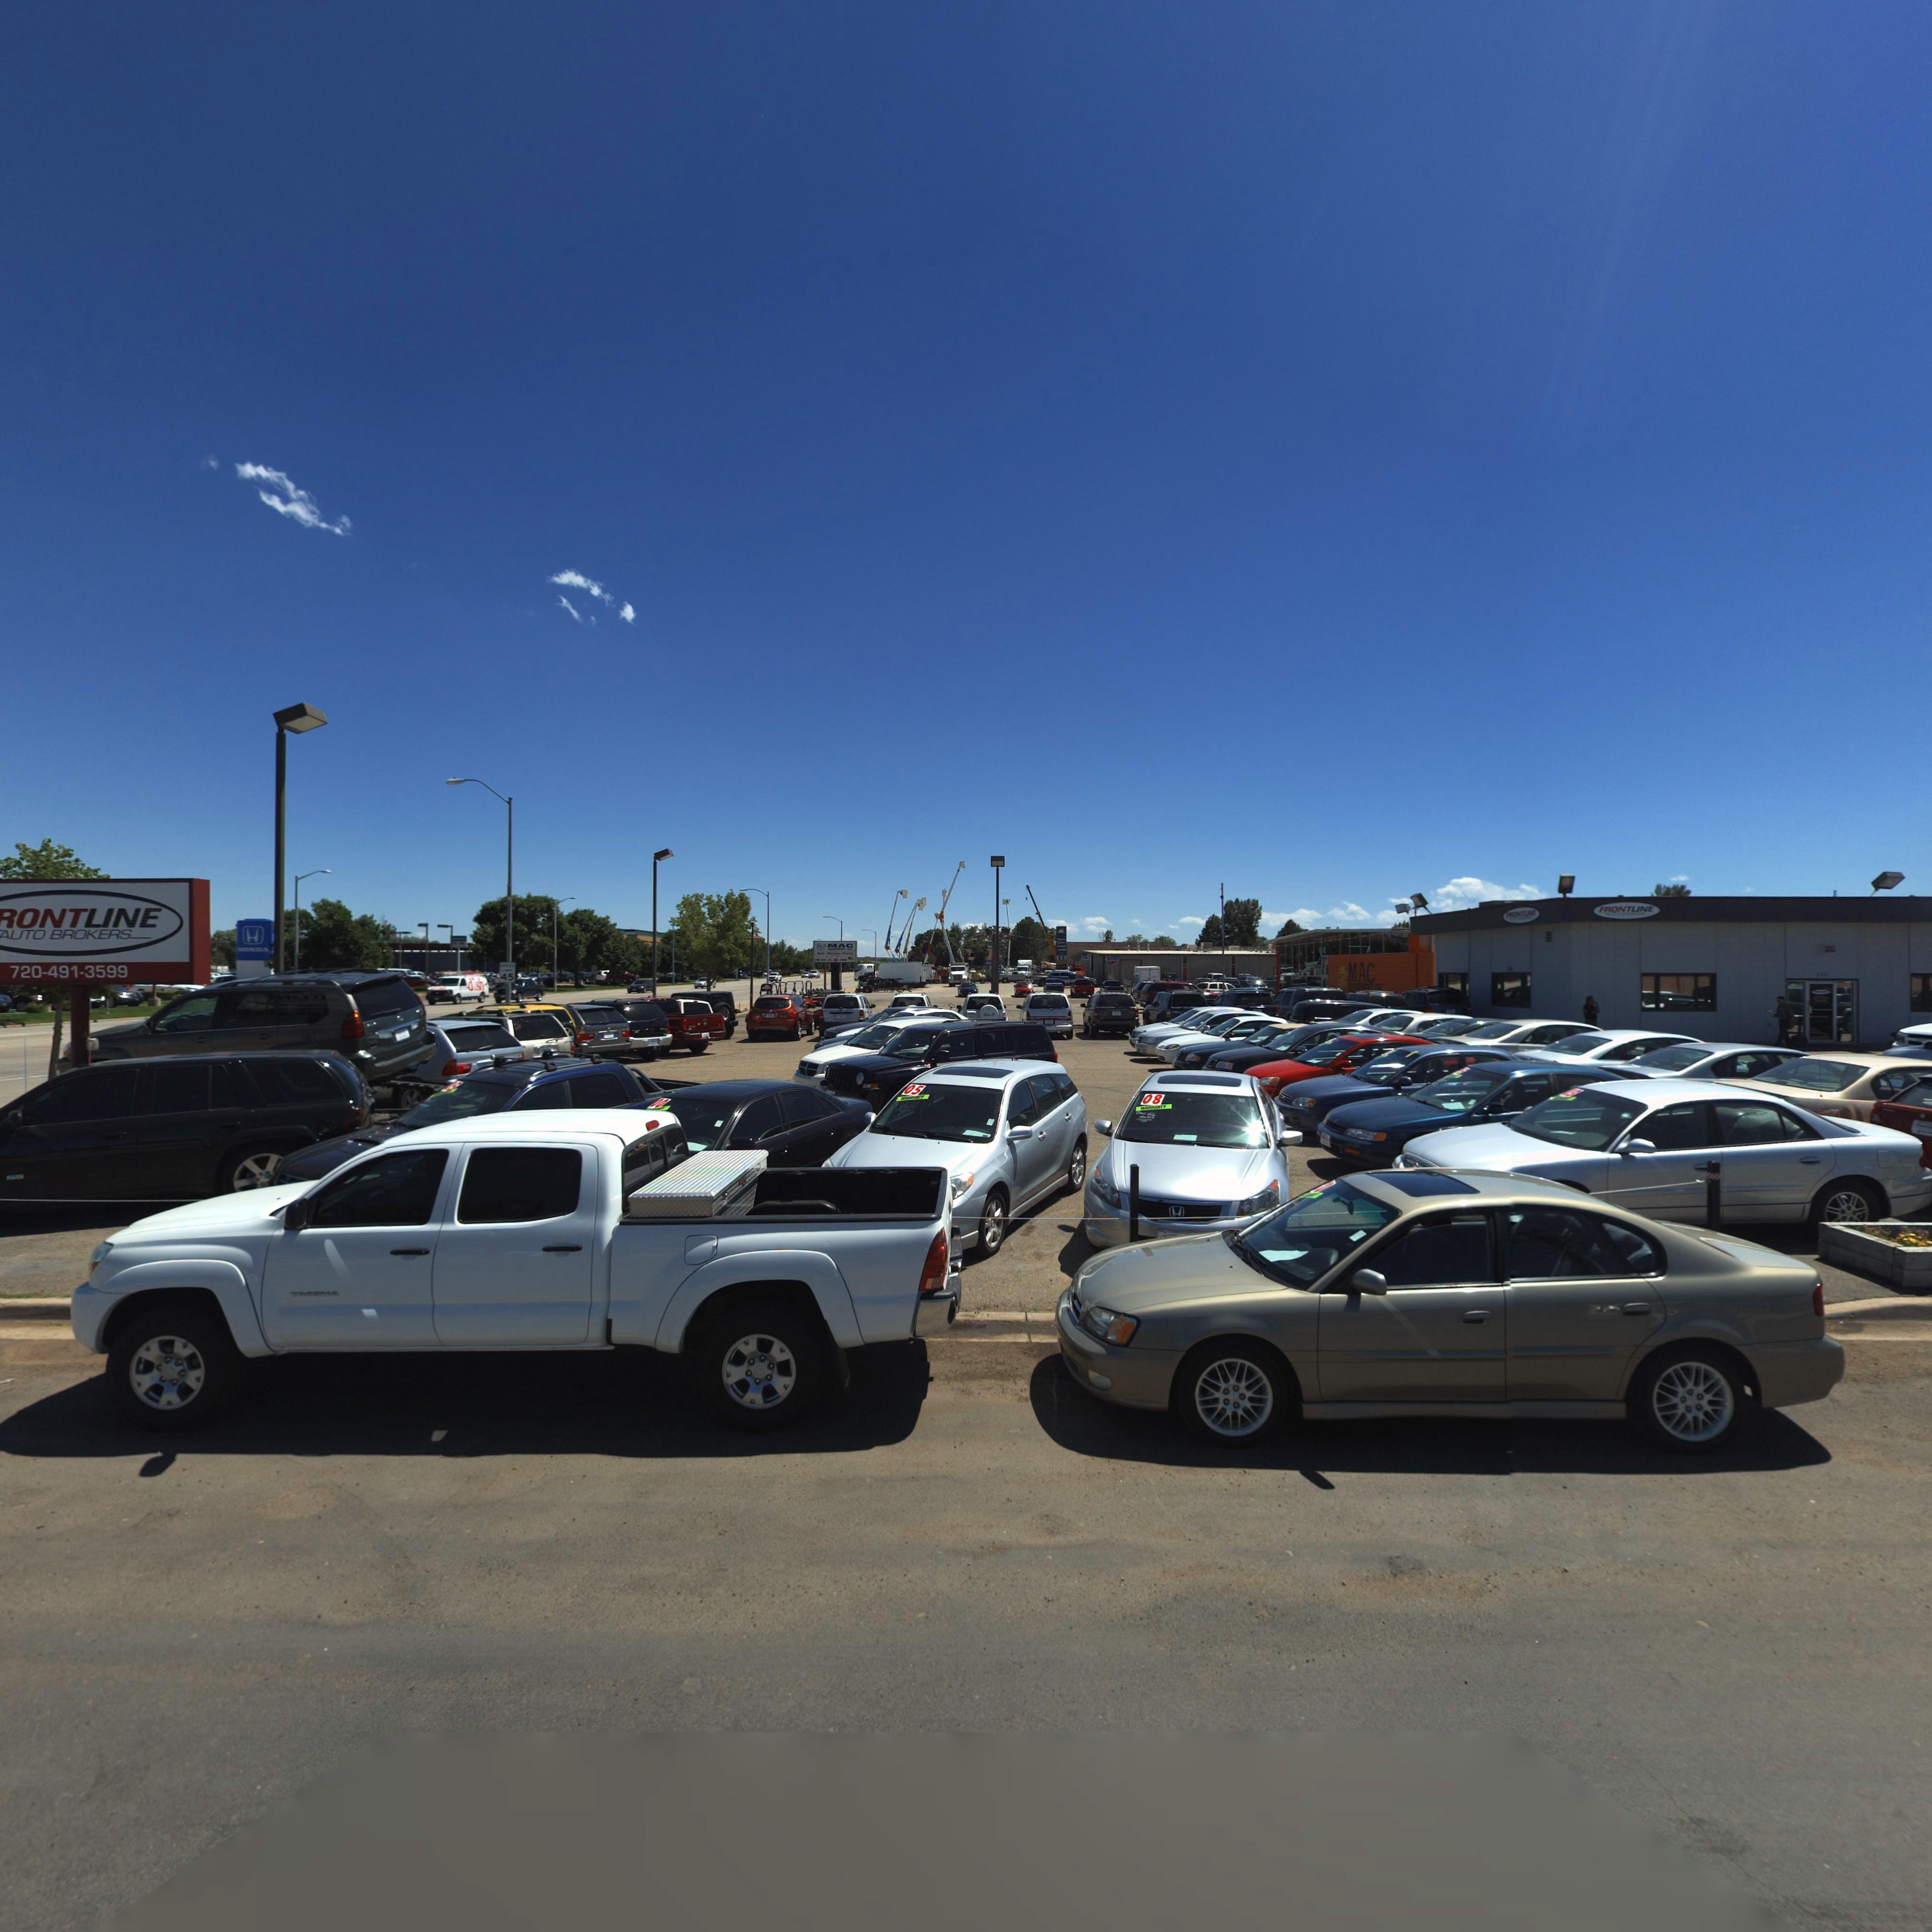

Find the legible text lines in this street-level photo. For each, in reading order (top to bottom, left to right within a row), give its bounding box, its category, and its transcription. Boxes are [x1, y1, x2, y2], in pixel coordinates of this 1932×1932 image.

[1, 907, 163, 929] BusinessName: *ONTLINE
[1505, 908, 1537, 918] BusinessName: **ONT****
[1599, 906, 1655, 913] BusinessName: FRONTLINE
[1, 928, 133, 940] BusinessName: *UTO BROKERS
[237, 947, 269, 952] BusinessName: HONDA
[828, 943, 853, 948] BusinessName: MAC
[1347, 961, 1375, 984] BusinessName: MAC